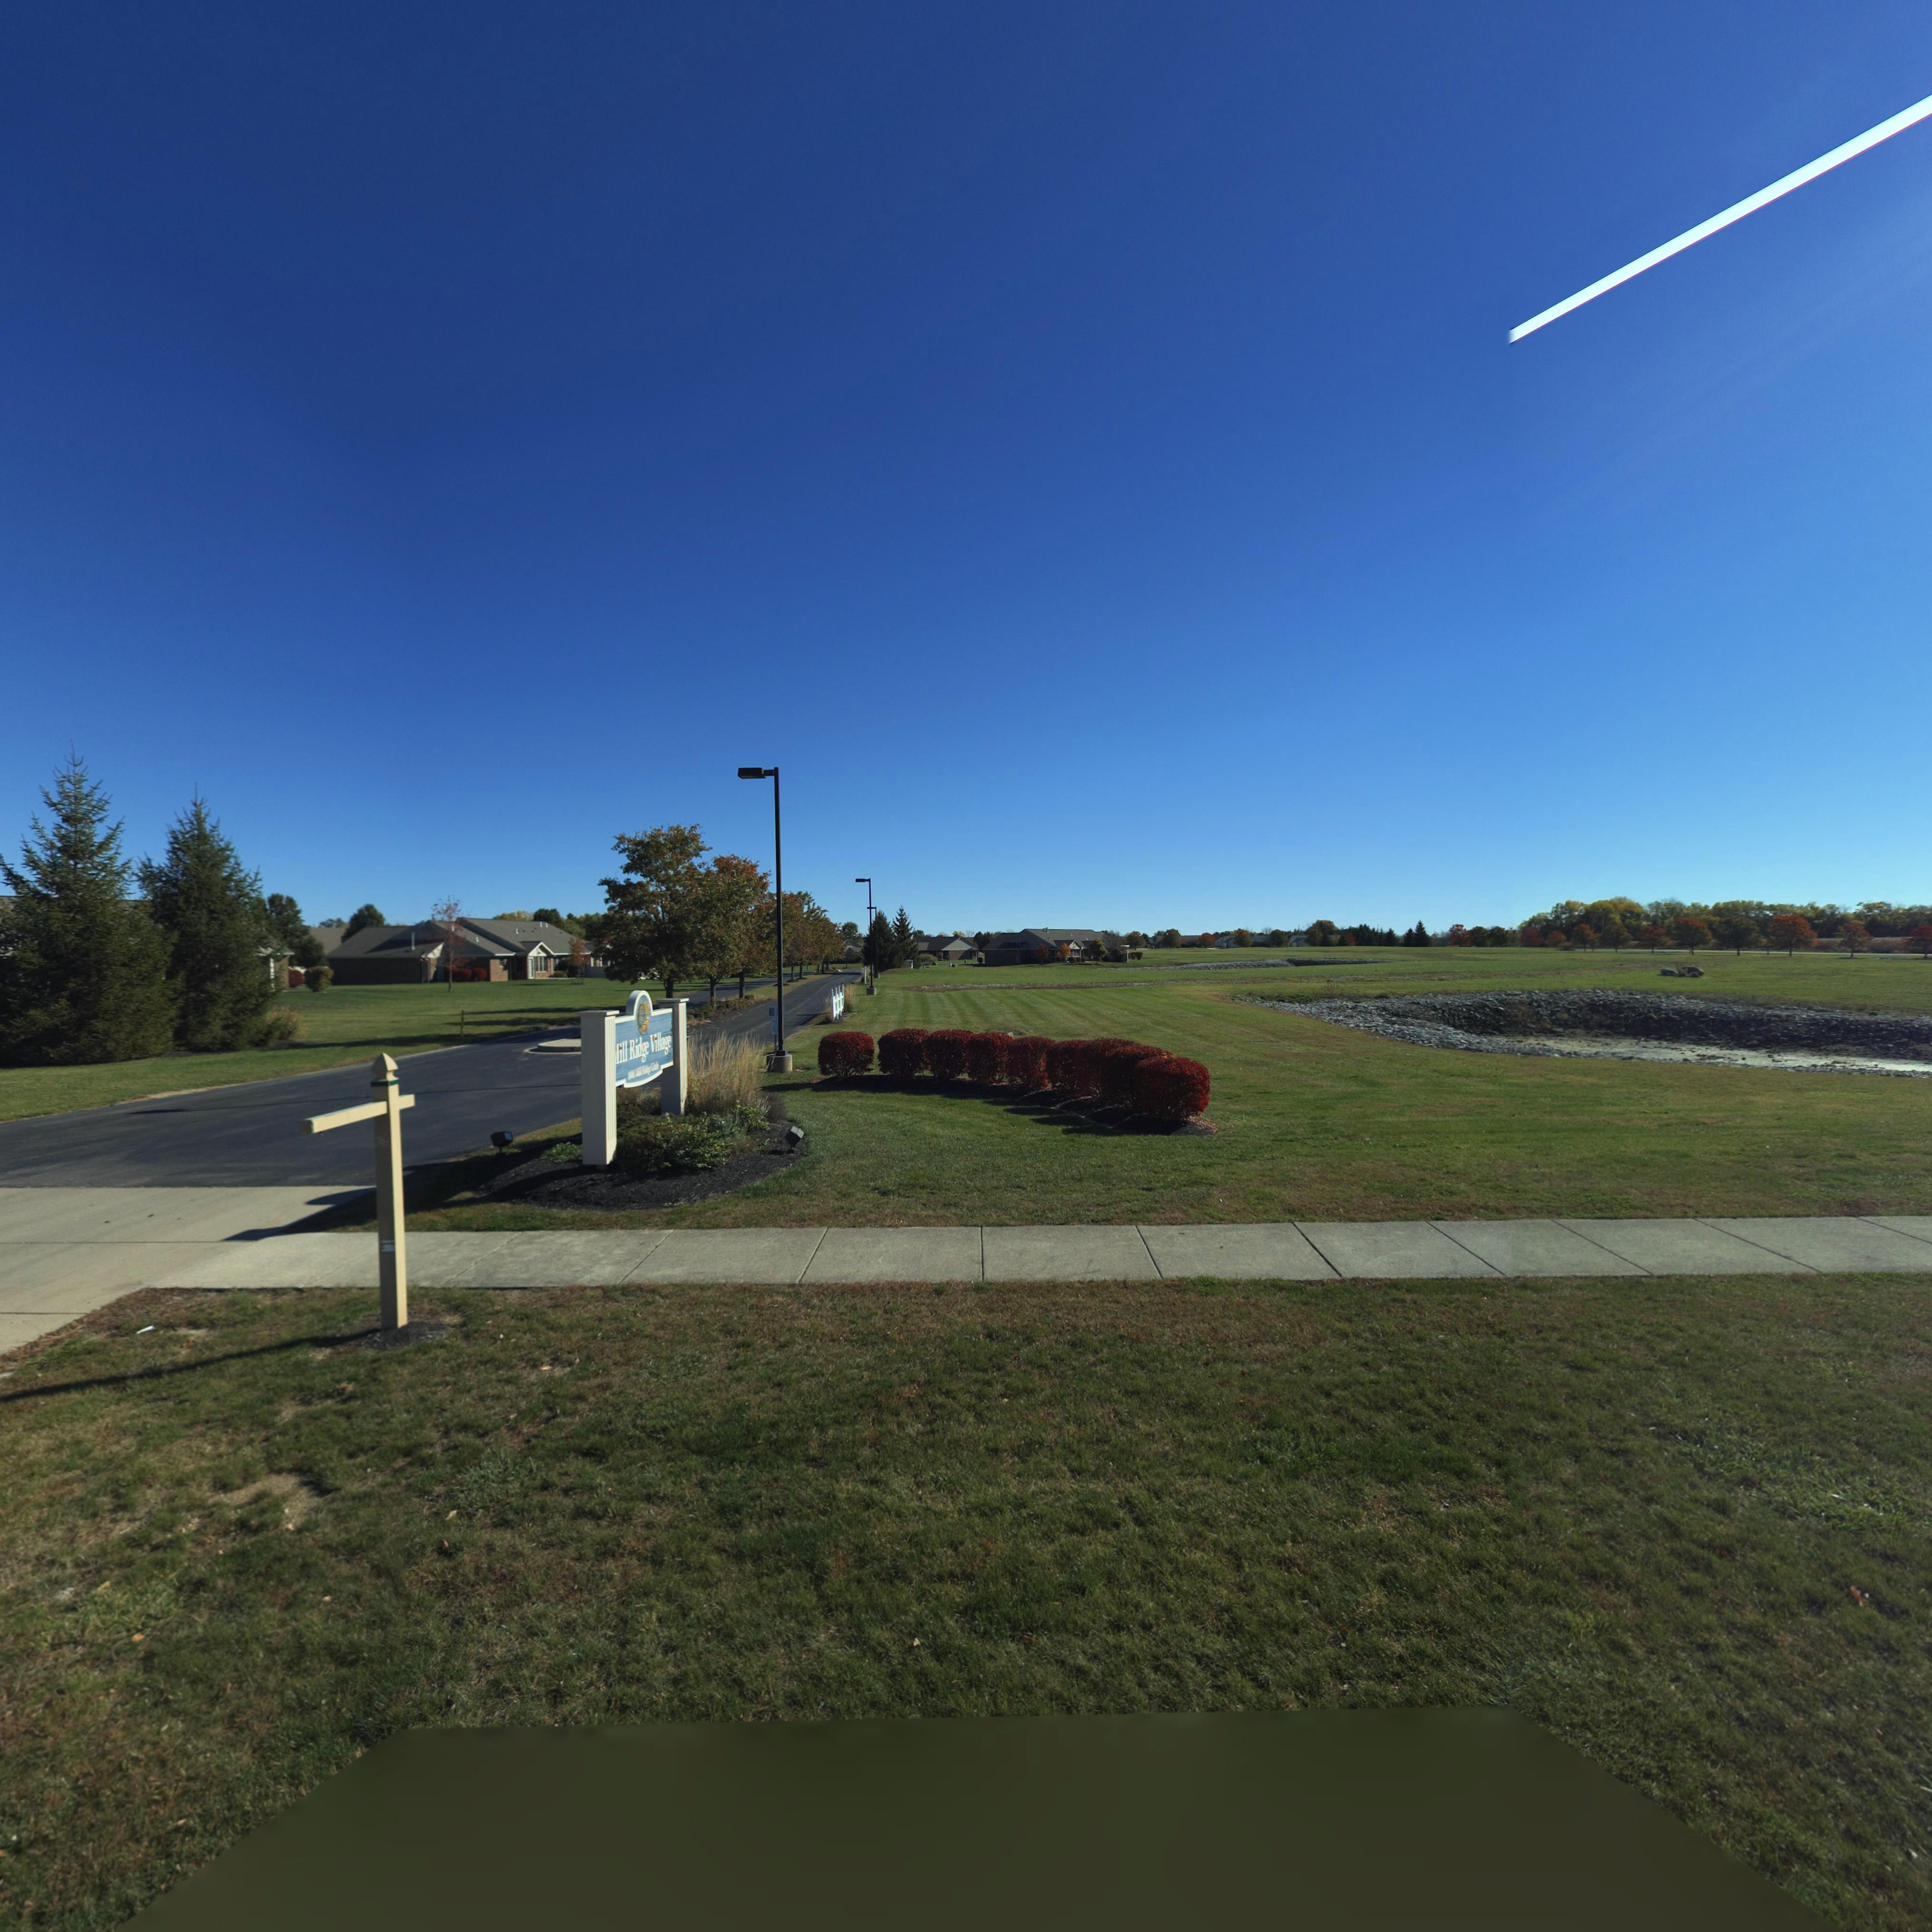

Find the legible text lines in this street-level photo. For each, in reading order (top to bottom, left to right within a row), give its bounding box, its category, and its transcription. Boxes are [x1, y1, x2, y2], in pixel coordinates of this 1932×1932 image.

[616, 1031, 675, 1065] BusinessName: ill Ridge Village
[627, 1069, 636, 1081] StreetNumber: 1000